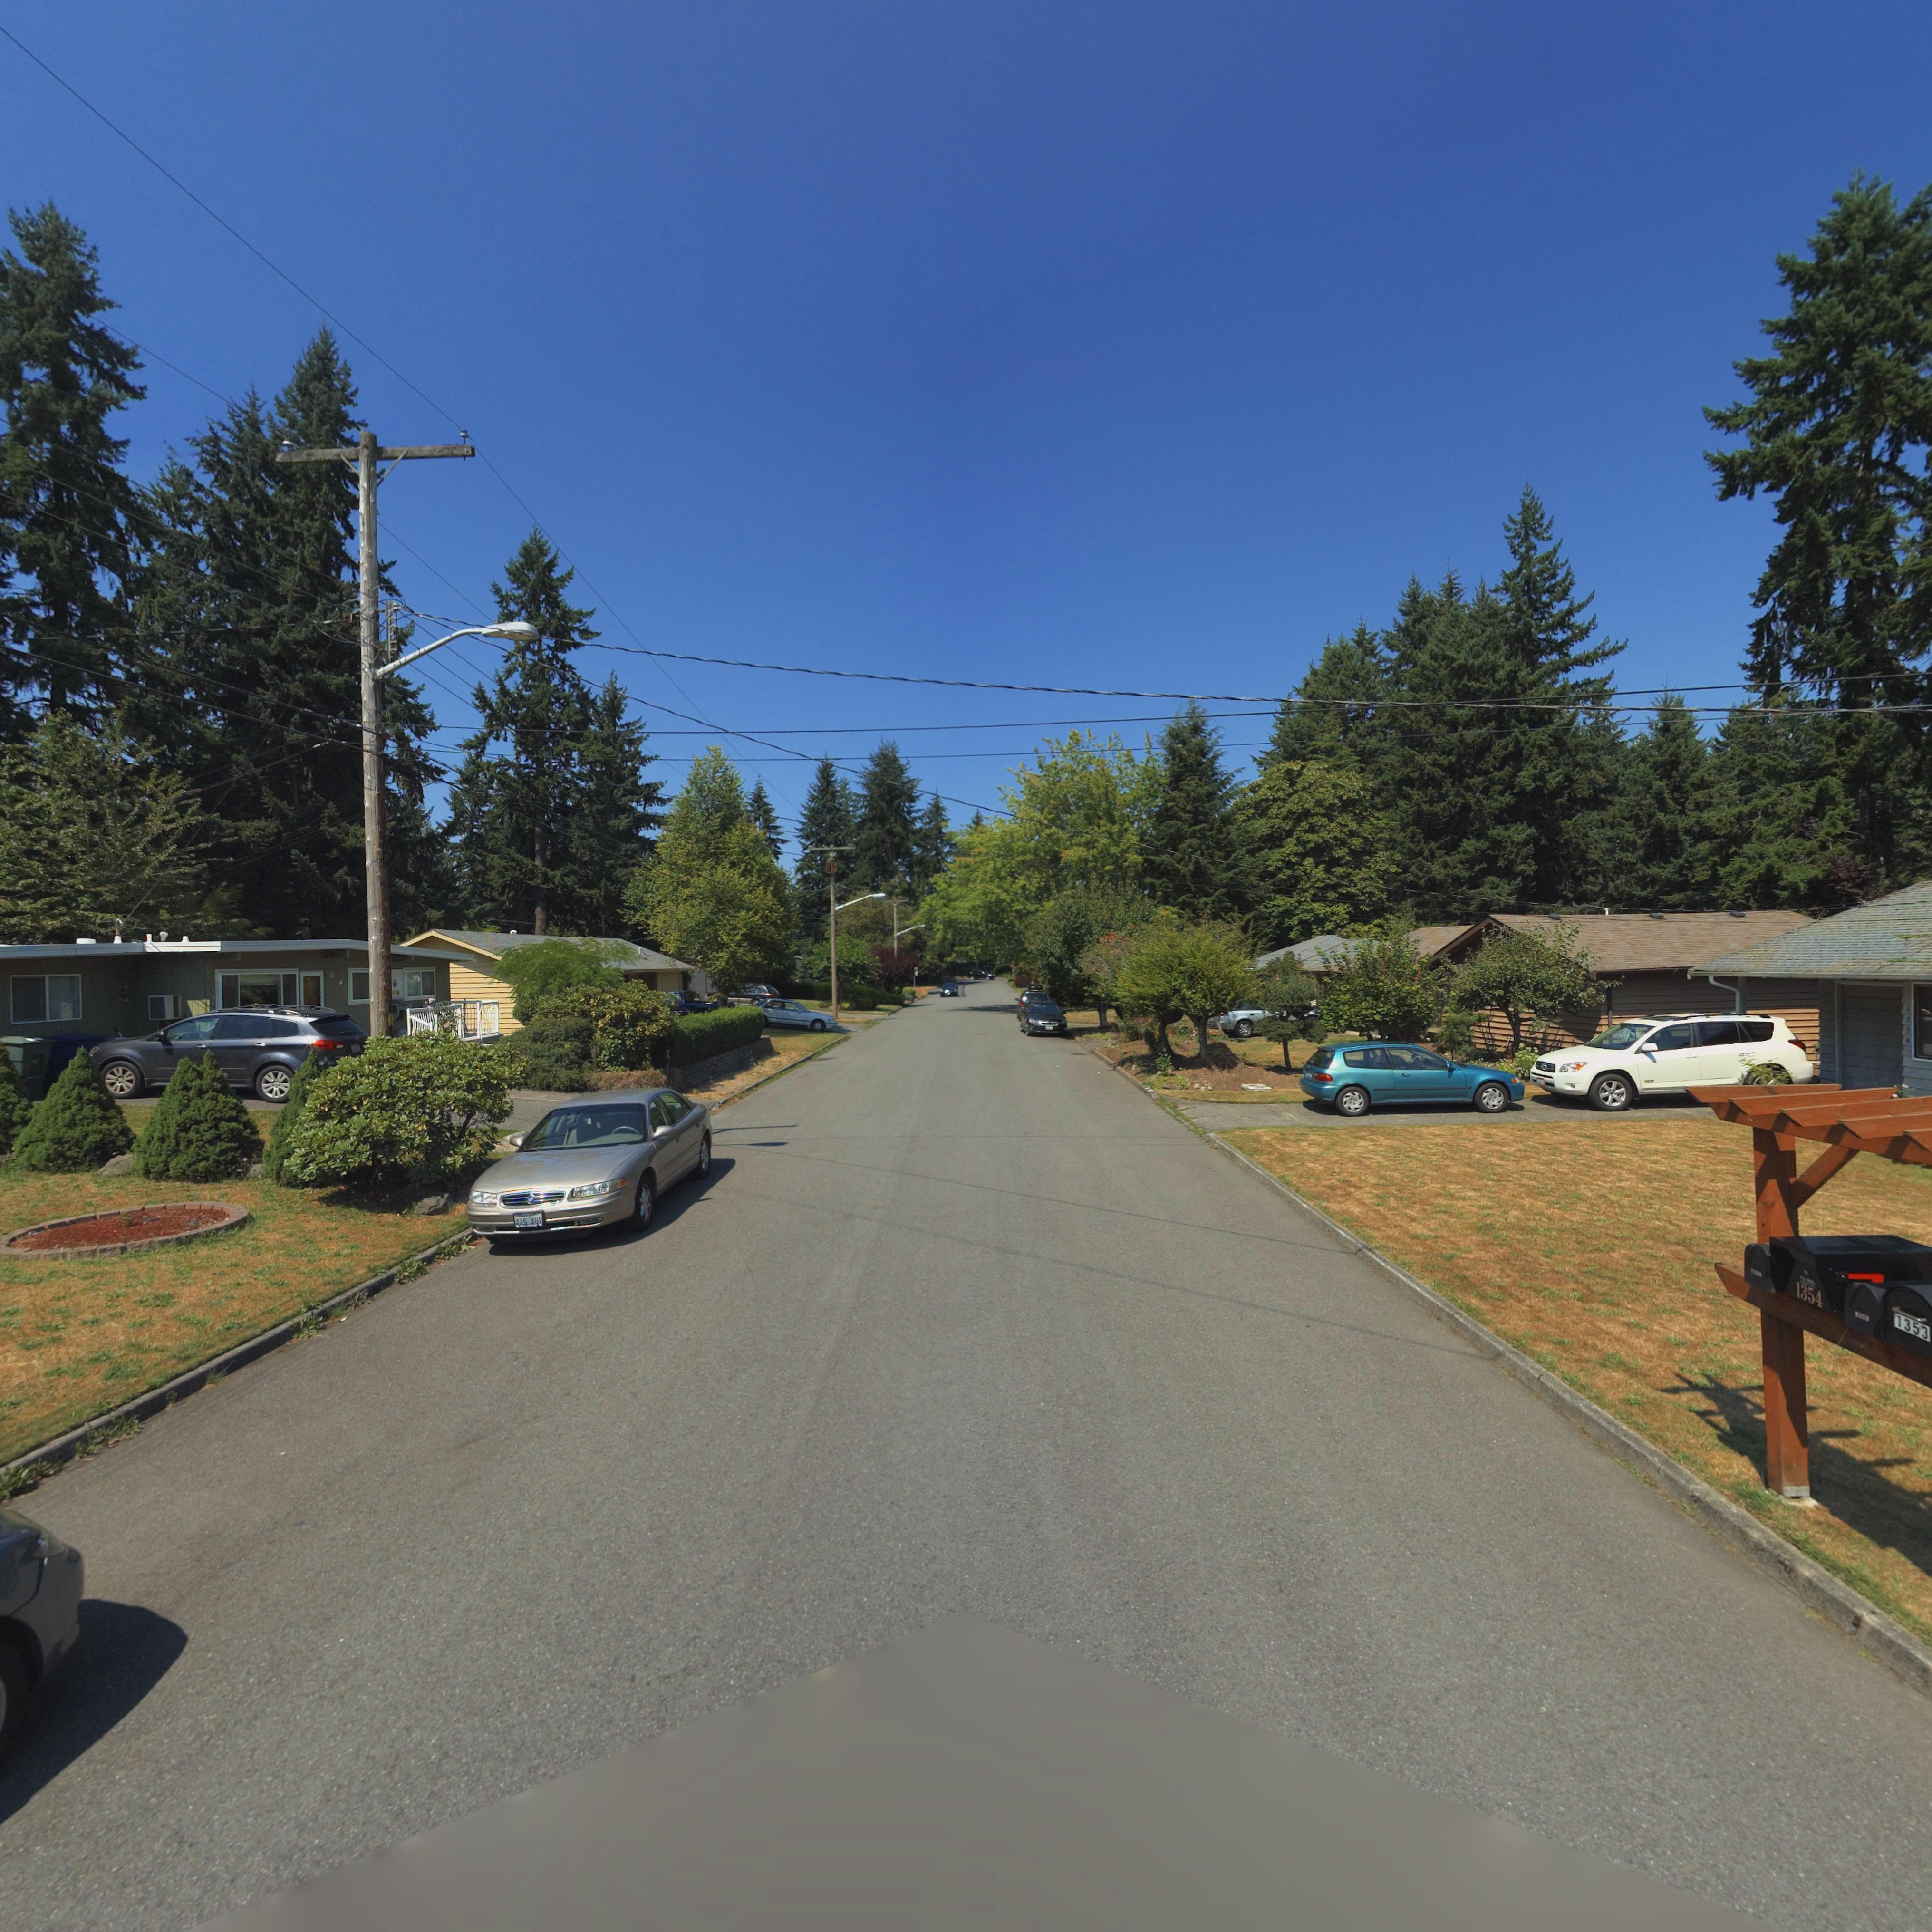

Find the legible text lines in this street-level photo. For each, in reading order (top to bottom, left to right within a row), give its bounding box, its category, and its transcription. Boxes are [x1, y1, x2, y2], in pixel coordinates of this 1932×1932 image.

[1796, 1282, 1822, 1308] StreetNumber: 1345
[1897, 1315, 1927, 1339] StreetNumber: 1353